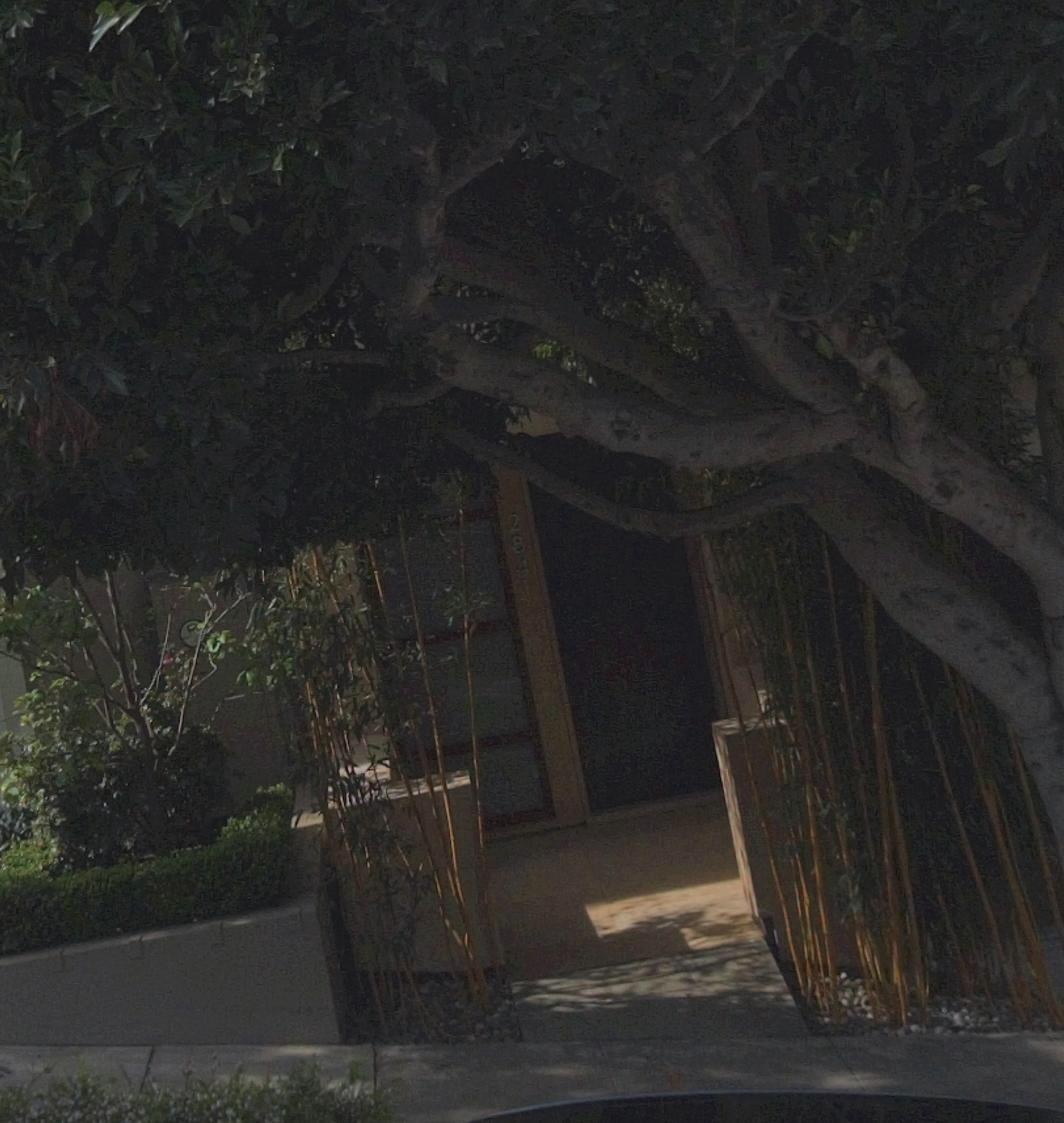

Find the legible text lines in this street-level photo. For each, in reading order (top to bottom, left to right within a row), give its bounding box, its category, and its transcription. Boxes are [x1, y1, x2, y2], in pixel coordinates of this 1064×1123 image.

[504, 510, 536, 601] StreetNumber: 2841